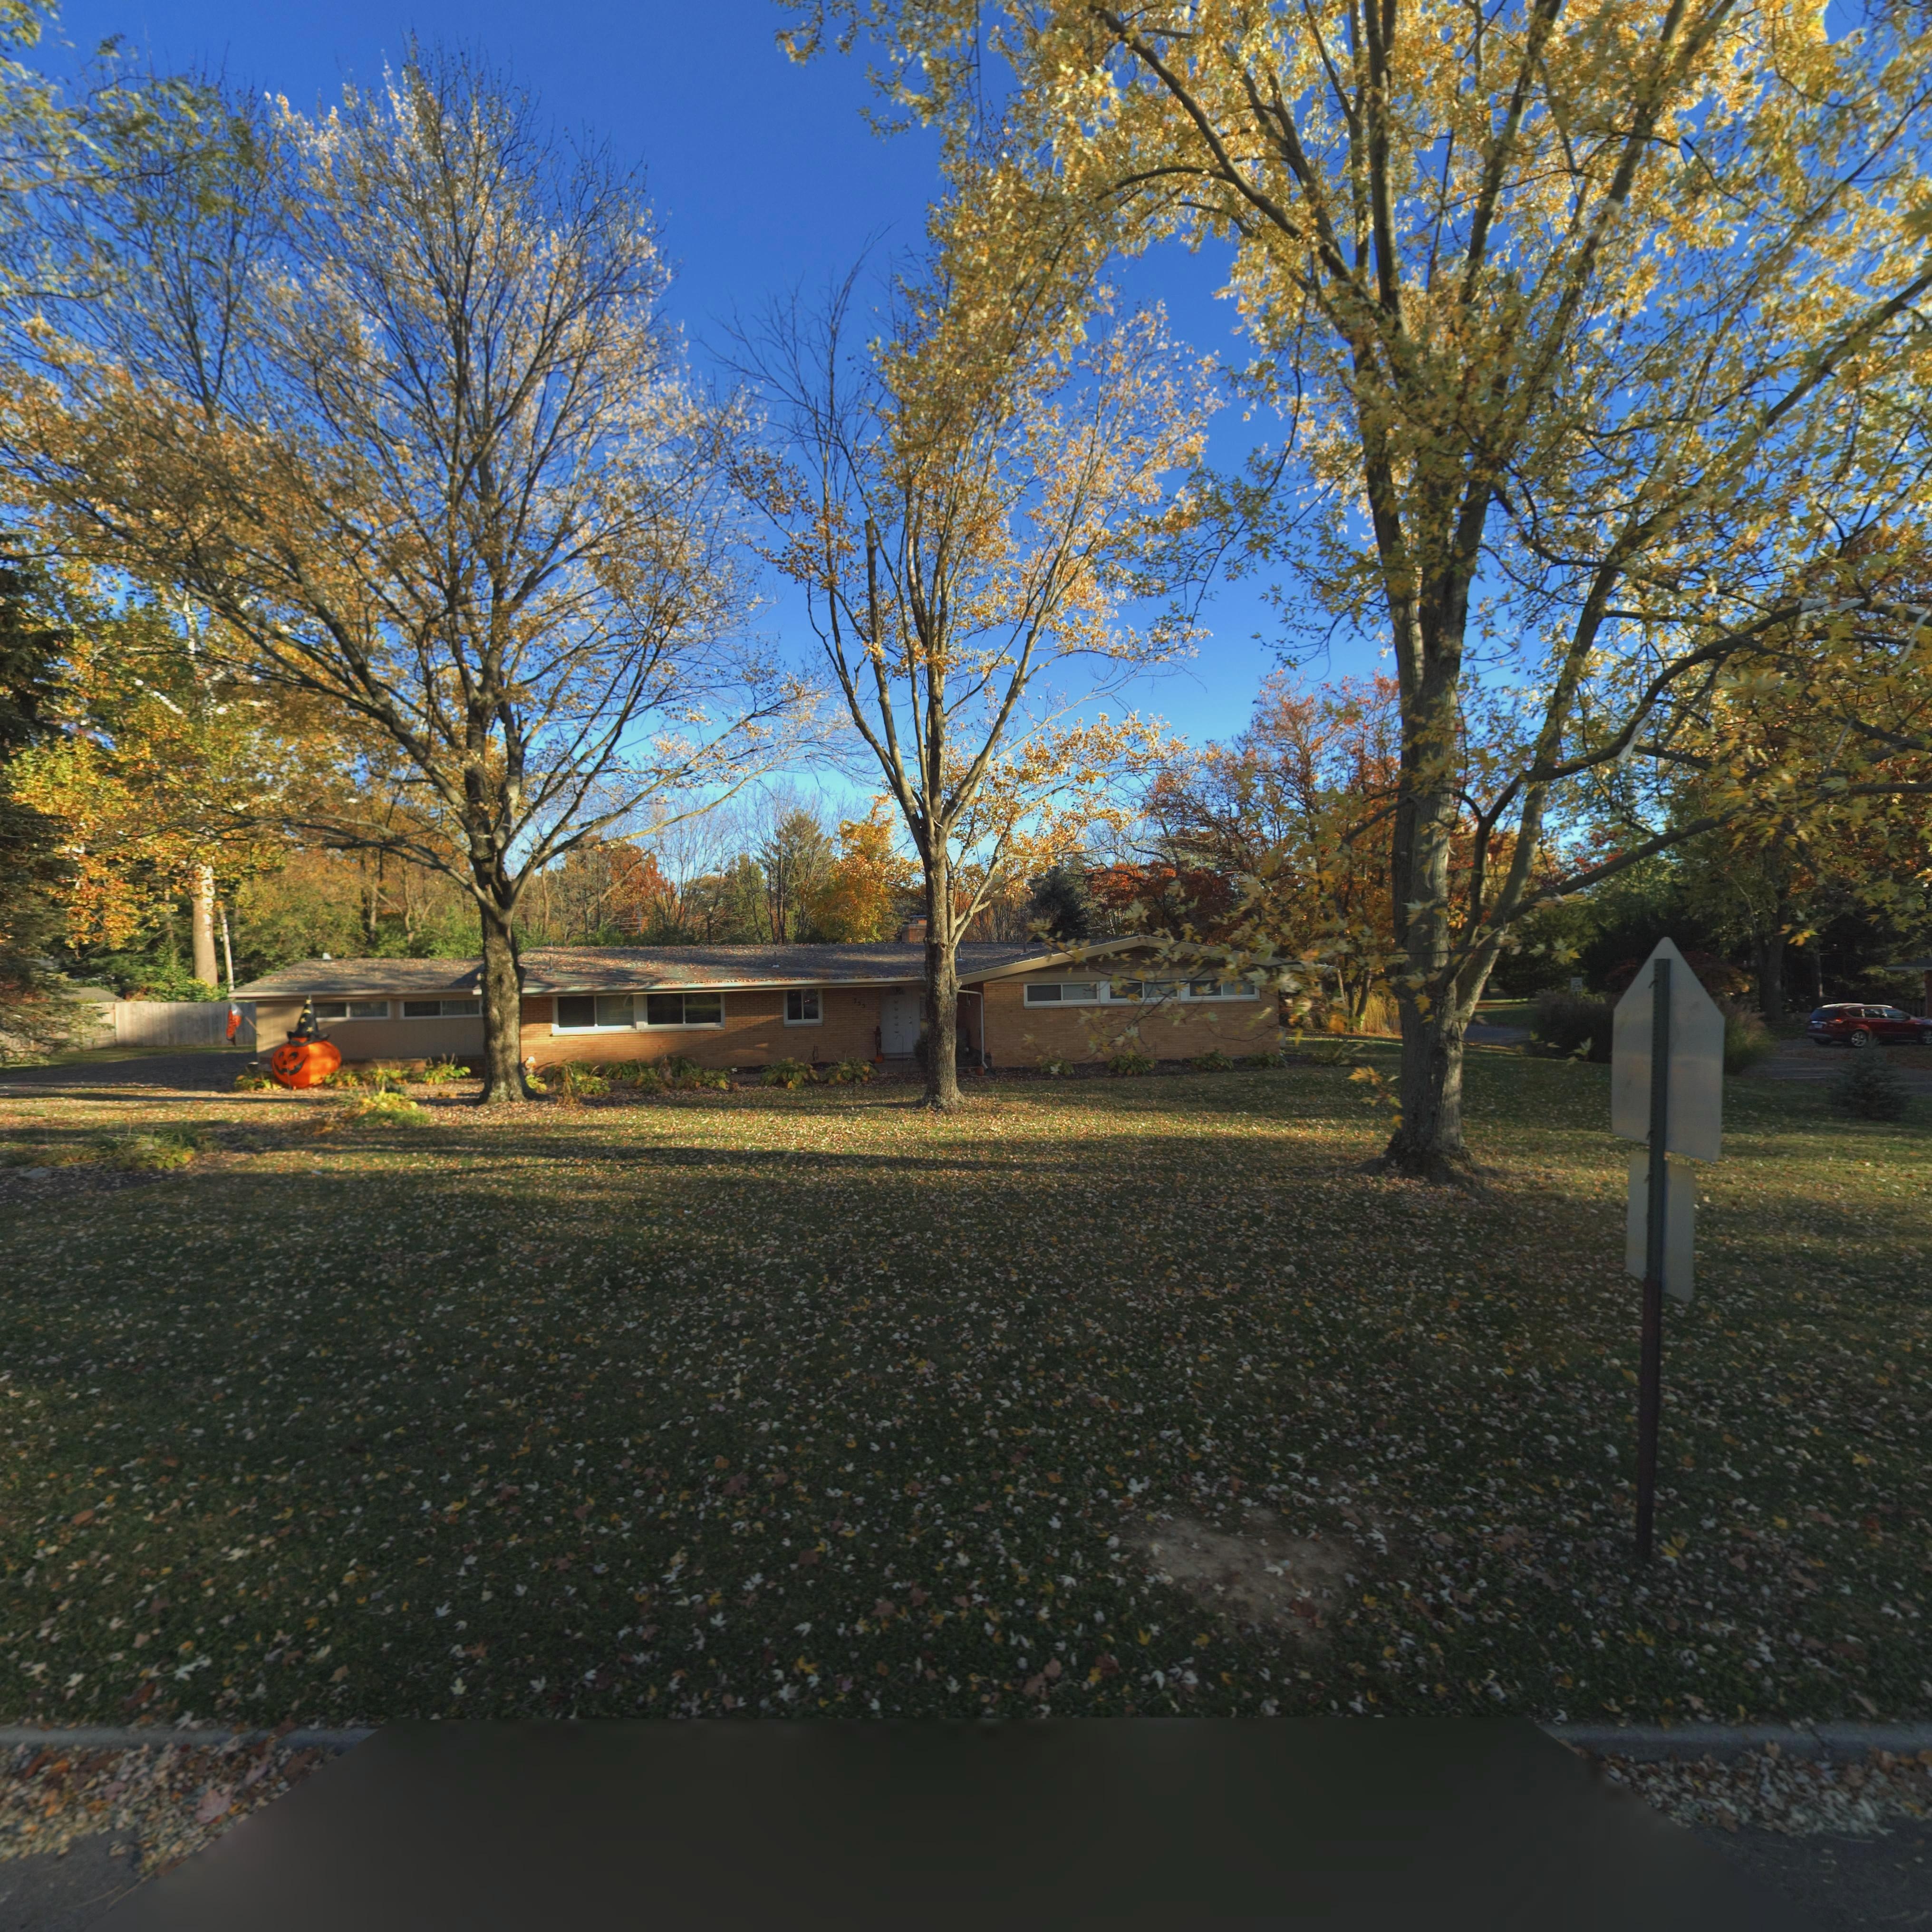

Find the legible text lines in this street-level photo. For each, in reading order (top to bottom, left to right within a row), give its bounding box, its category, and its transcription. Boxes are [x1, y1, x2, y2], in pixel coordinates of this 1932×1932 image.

[853, 997, 866, 1010] StreetNumber: 755